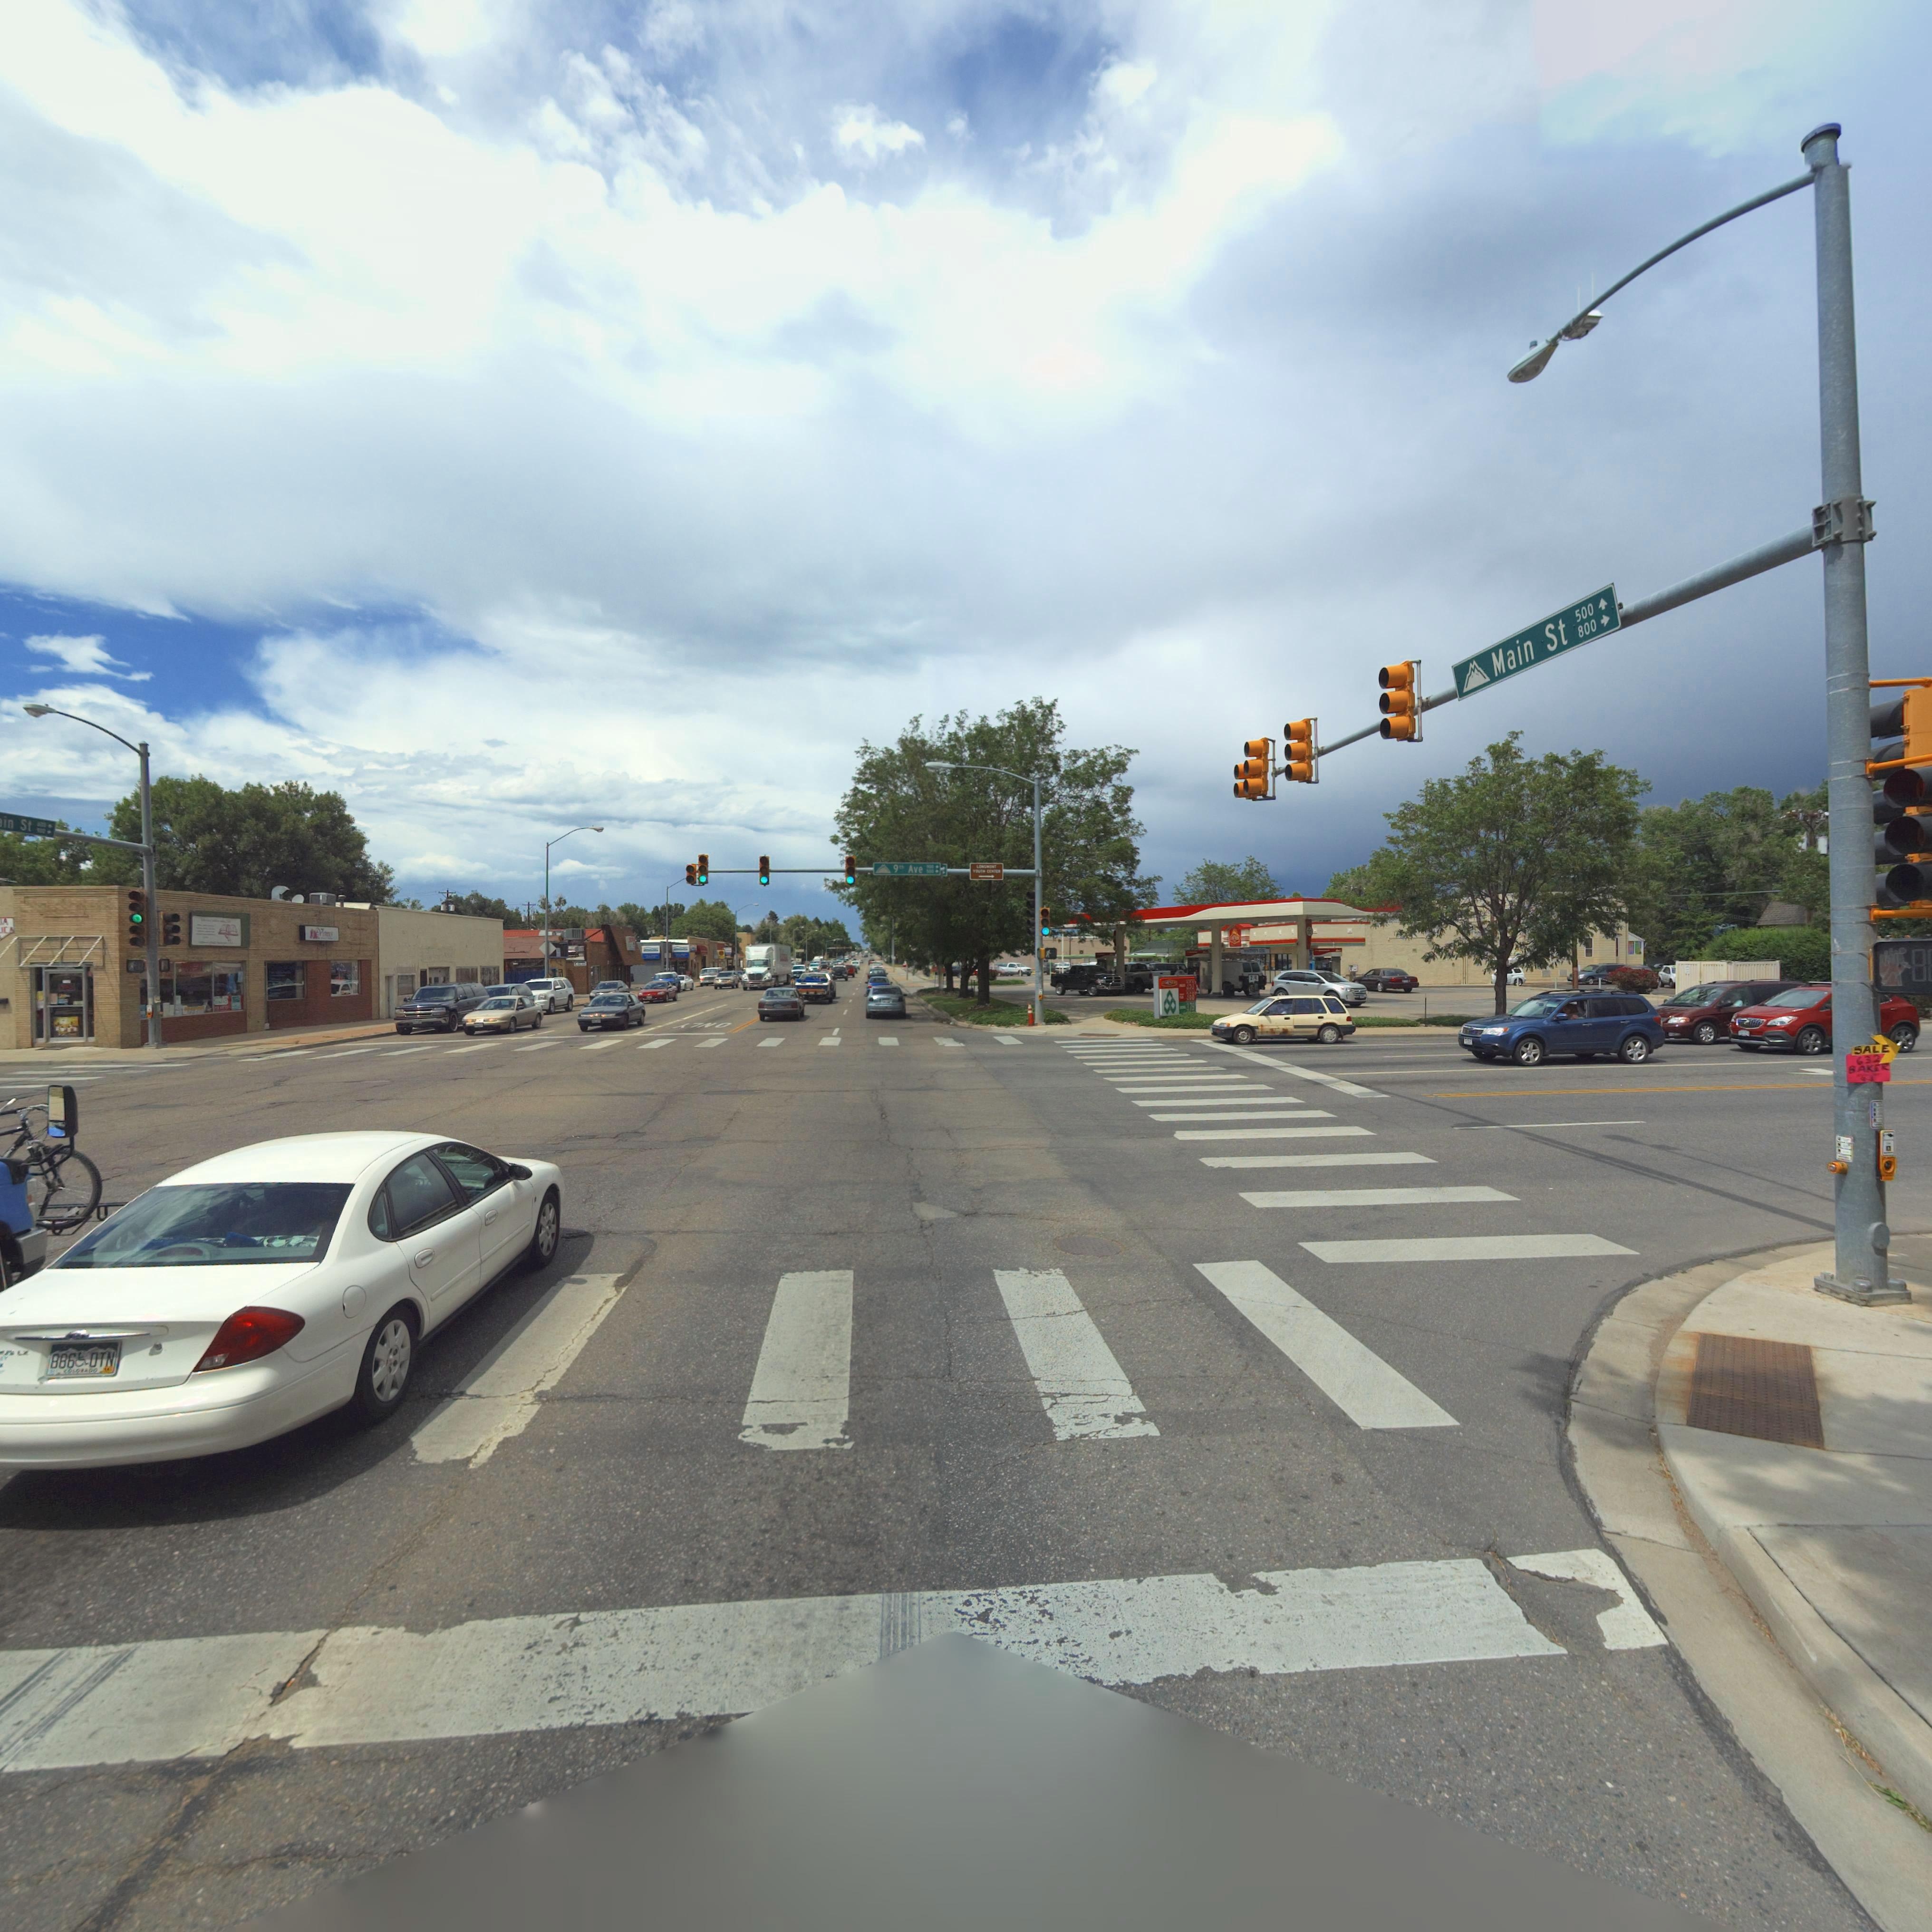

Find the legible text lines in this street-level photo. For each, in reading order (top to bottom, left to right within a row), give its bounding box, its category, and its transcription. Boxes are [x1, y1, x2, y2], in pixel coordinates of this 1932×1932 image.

[1575, 602, 1594, 623] StreetNumberRange: 500
[1577, 614, 1611, 638] StreetNumberRange: 800->
[1491, 618, 1568, 677] StreetName: Main St
[3, 815, 33, 831] StreetName: in St
[36, 821, 47, 828] StreetNumberRange: 600
[36, 827, 51, 834] StreetNumberRange: 900->
[893, 864, 923, 873] StreetName: 9th Ave
[926, 864, 934, 868] StreetNumberRange: 900
[927, 869, 939, 873] StreetNumberRange: 500
[1855, 1054, 1881, 1064] StreetNumber: 632
[1849, 1063, 1889, 1073] StreetName: BAKER